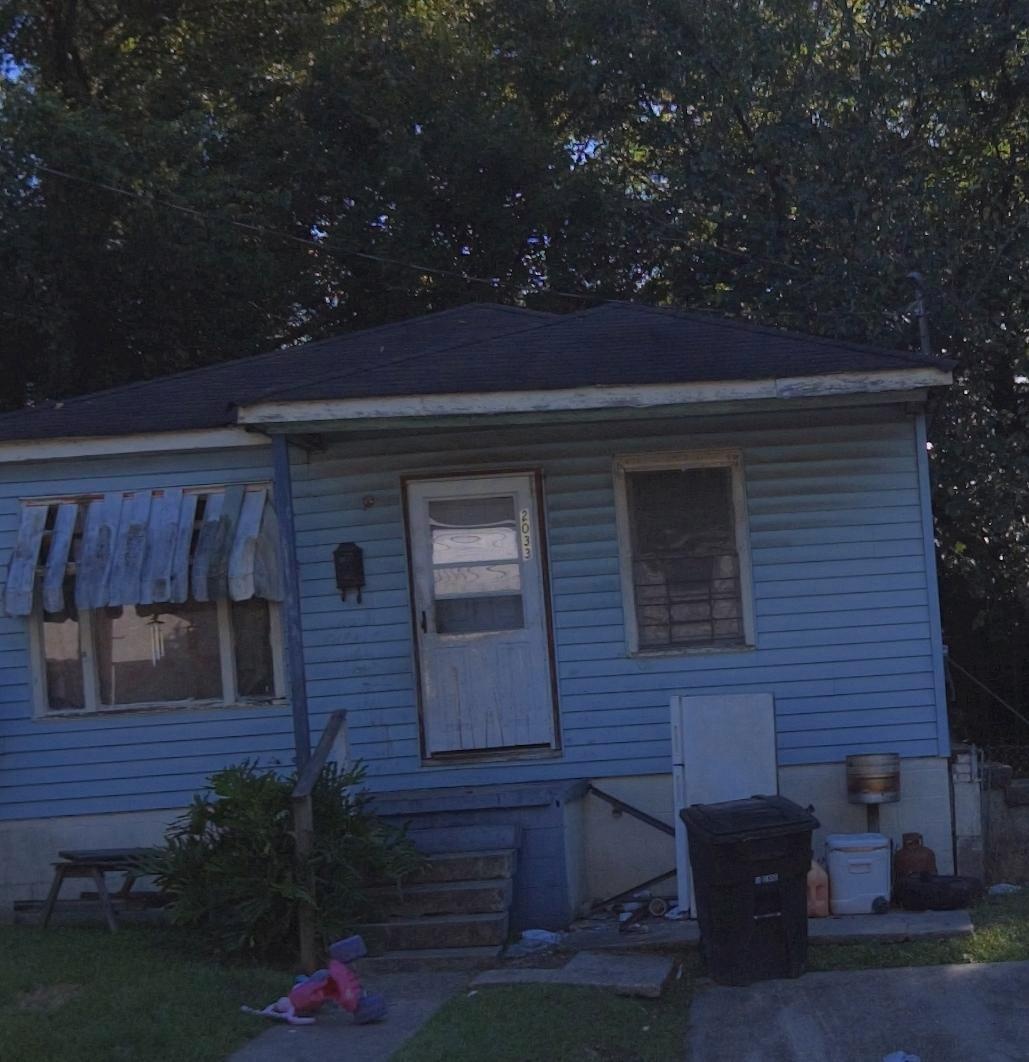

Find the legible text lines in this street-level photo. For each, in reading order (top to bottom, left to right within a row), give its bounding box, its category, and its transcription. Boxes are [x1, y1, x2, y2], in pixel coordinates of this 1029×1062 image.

[520, 509, 532, 562] StreetNumber: 2033